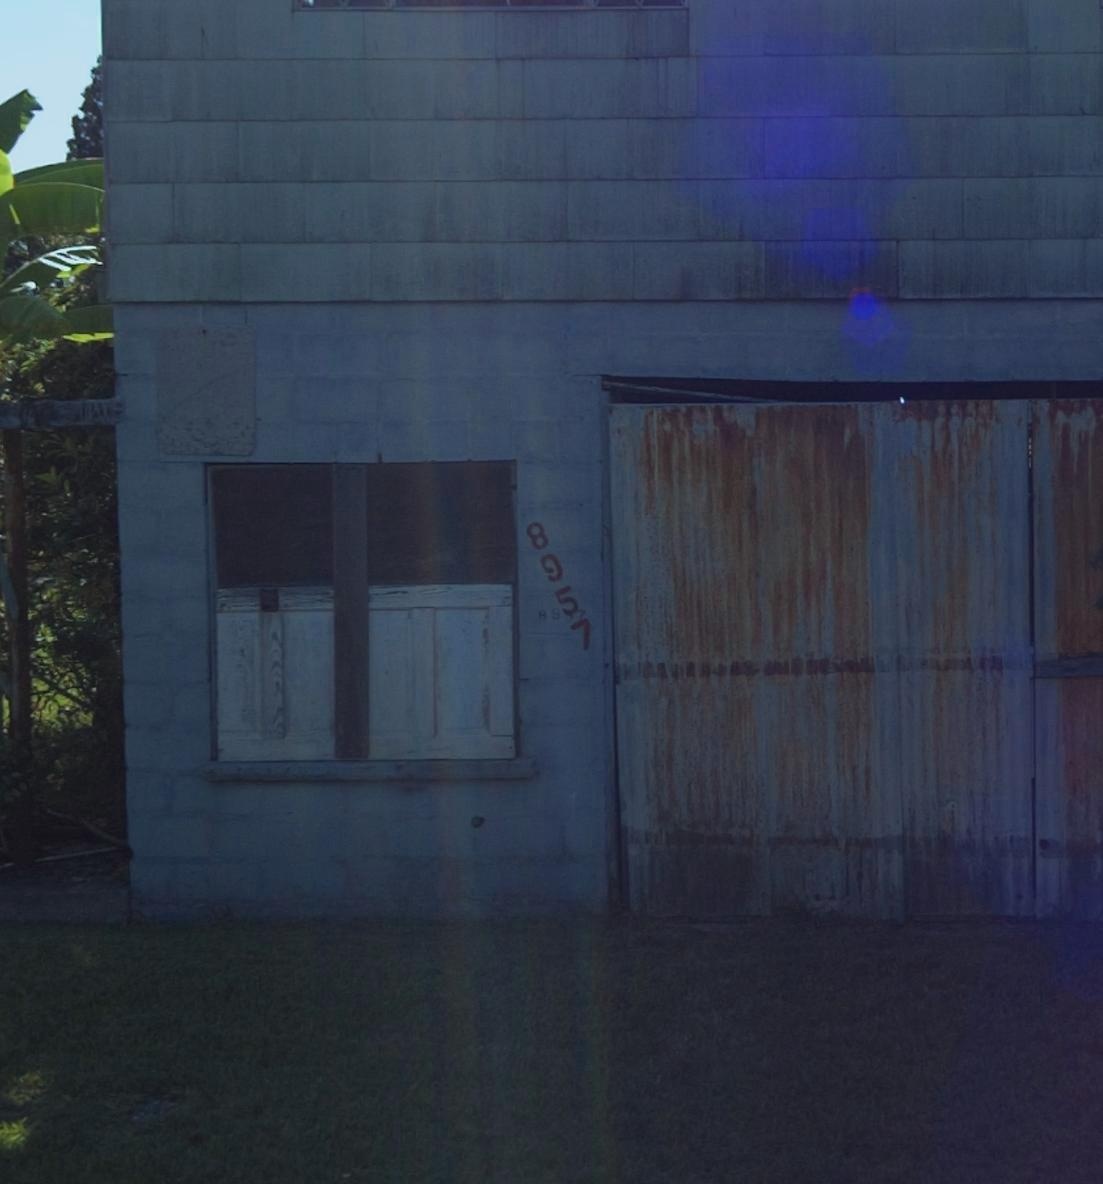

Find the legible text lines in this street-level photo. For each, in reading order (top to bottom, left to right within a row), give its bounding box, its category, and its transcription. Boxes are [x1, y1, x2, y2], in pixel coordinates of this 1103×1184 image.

[519, 519, 593, 652] StreetNumber: 8957